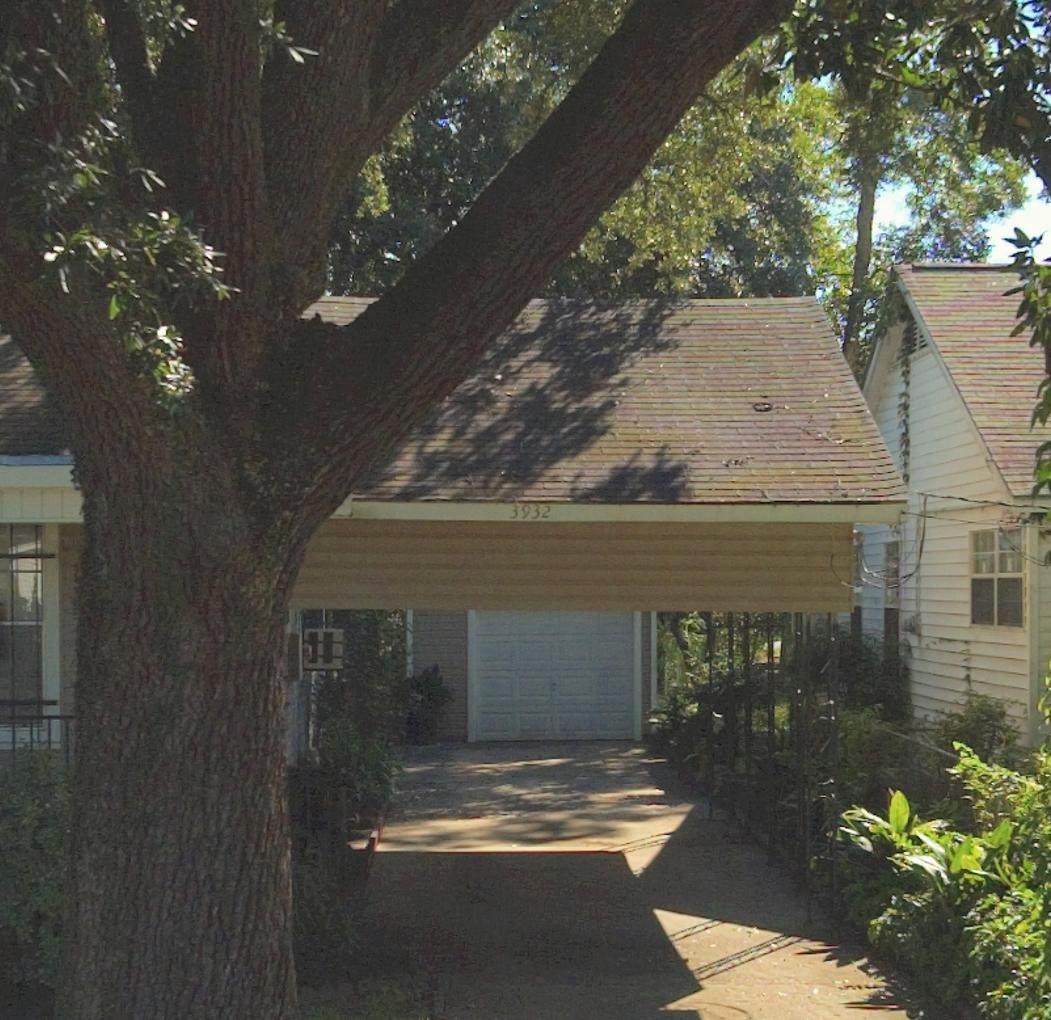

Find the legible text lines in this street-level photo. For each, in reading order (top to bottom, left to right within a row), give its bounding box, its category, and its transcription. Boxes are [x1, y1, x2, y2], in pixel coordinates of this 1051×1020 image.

[508, 503, 551, 520] StreetNumber: 3932